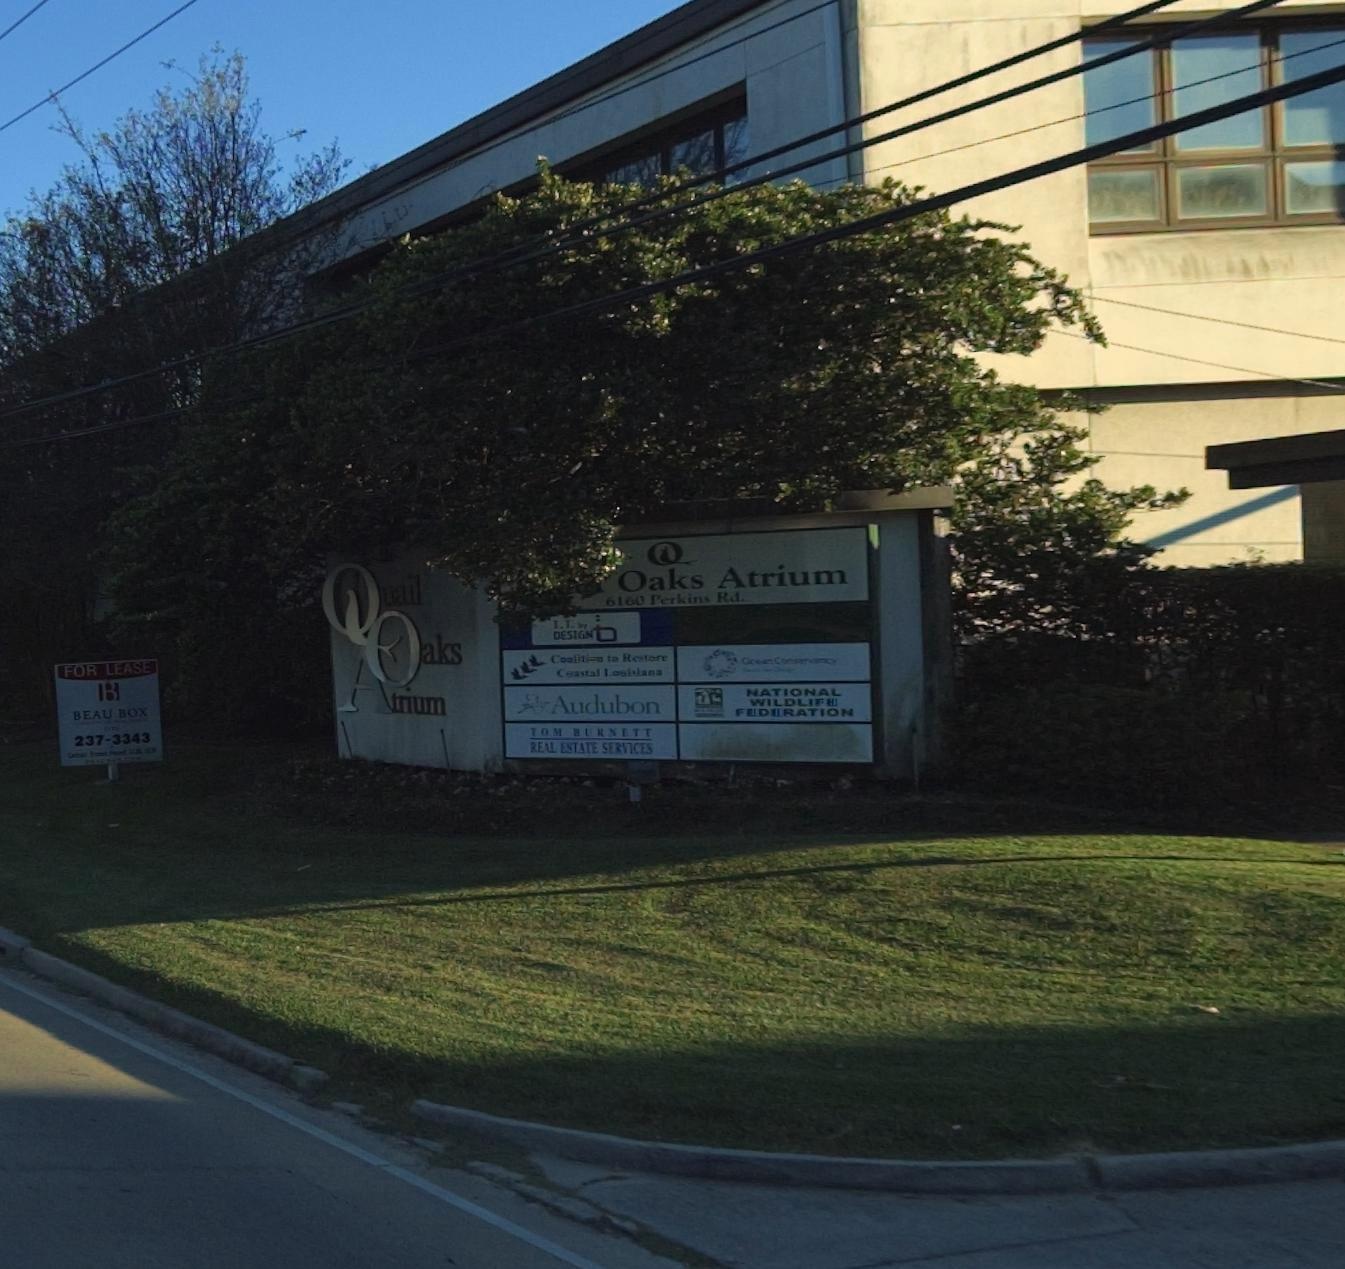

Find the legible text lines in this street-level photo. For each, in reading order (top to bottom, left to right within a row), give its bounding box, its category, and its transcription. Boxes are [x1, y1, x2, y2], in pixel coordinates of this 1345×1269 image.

[616, 562, 850, 593] BusinessName: Oaks Atrium
[317, 559, 425, 648] BusinessName: Quail
[604, 592, 645, 608] StreetNumber: 6160
[650, 589, 745, 607] StreetName: Perkins Rd.
[551, 618, 589, 630] BusinessName: *.*. by
[553, 629, 596, 642] BusinessName: DESIGN
[362, 608, 463, 692] BusinessName: Oaks
[550, 651, 669, 665] BusinessName: Coalition to Restore
[739, 655, 839, 666] BusinessName: Ocean Conservancy
[62, 661, 152, 679] None: FOR LEASE
[334, 641, 448, 719] BusinessName: Atrium
[556, 665, 664, 680] BusinessName: Coastal Louisiana
[98, 681, 119, 702] None: B
[746, 687, 843, 697] BusinessName: NATIONAL
[550, 691, 663, 716] BusinessName: Audubon
[748, 696, 840, 707] BusinessName: WILDLIFE
[71, 704, 149, 723] None: BEAU BOX
[735, 707, 855, 719] BusinessName: F*D*RATION
[71, 731, 151, 748] None: 237-3343
[529, 726, 654, 739] BusinessName: TOM BURNETT
[528, 741, 655, 755] BusinessName: REAL ESTATE SERVICES